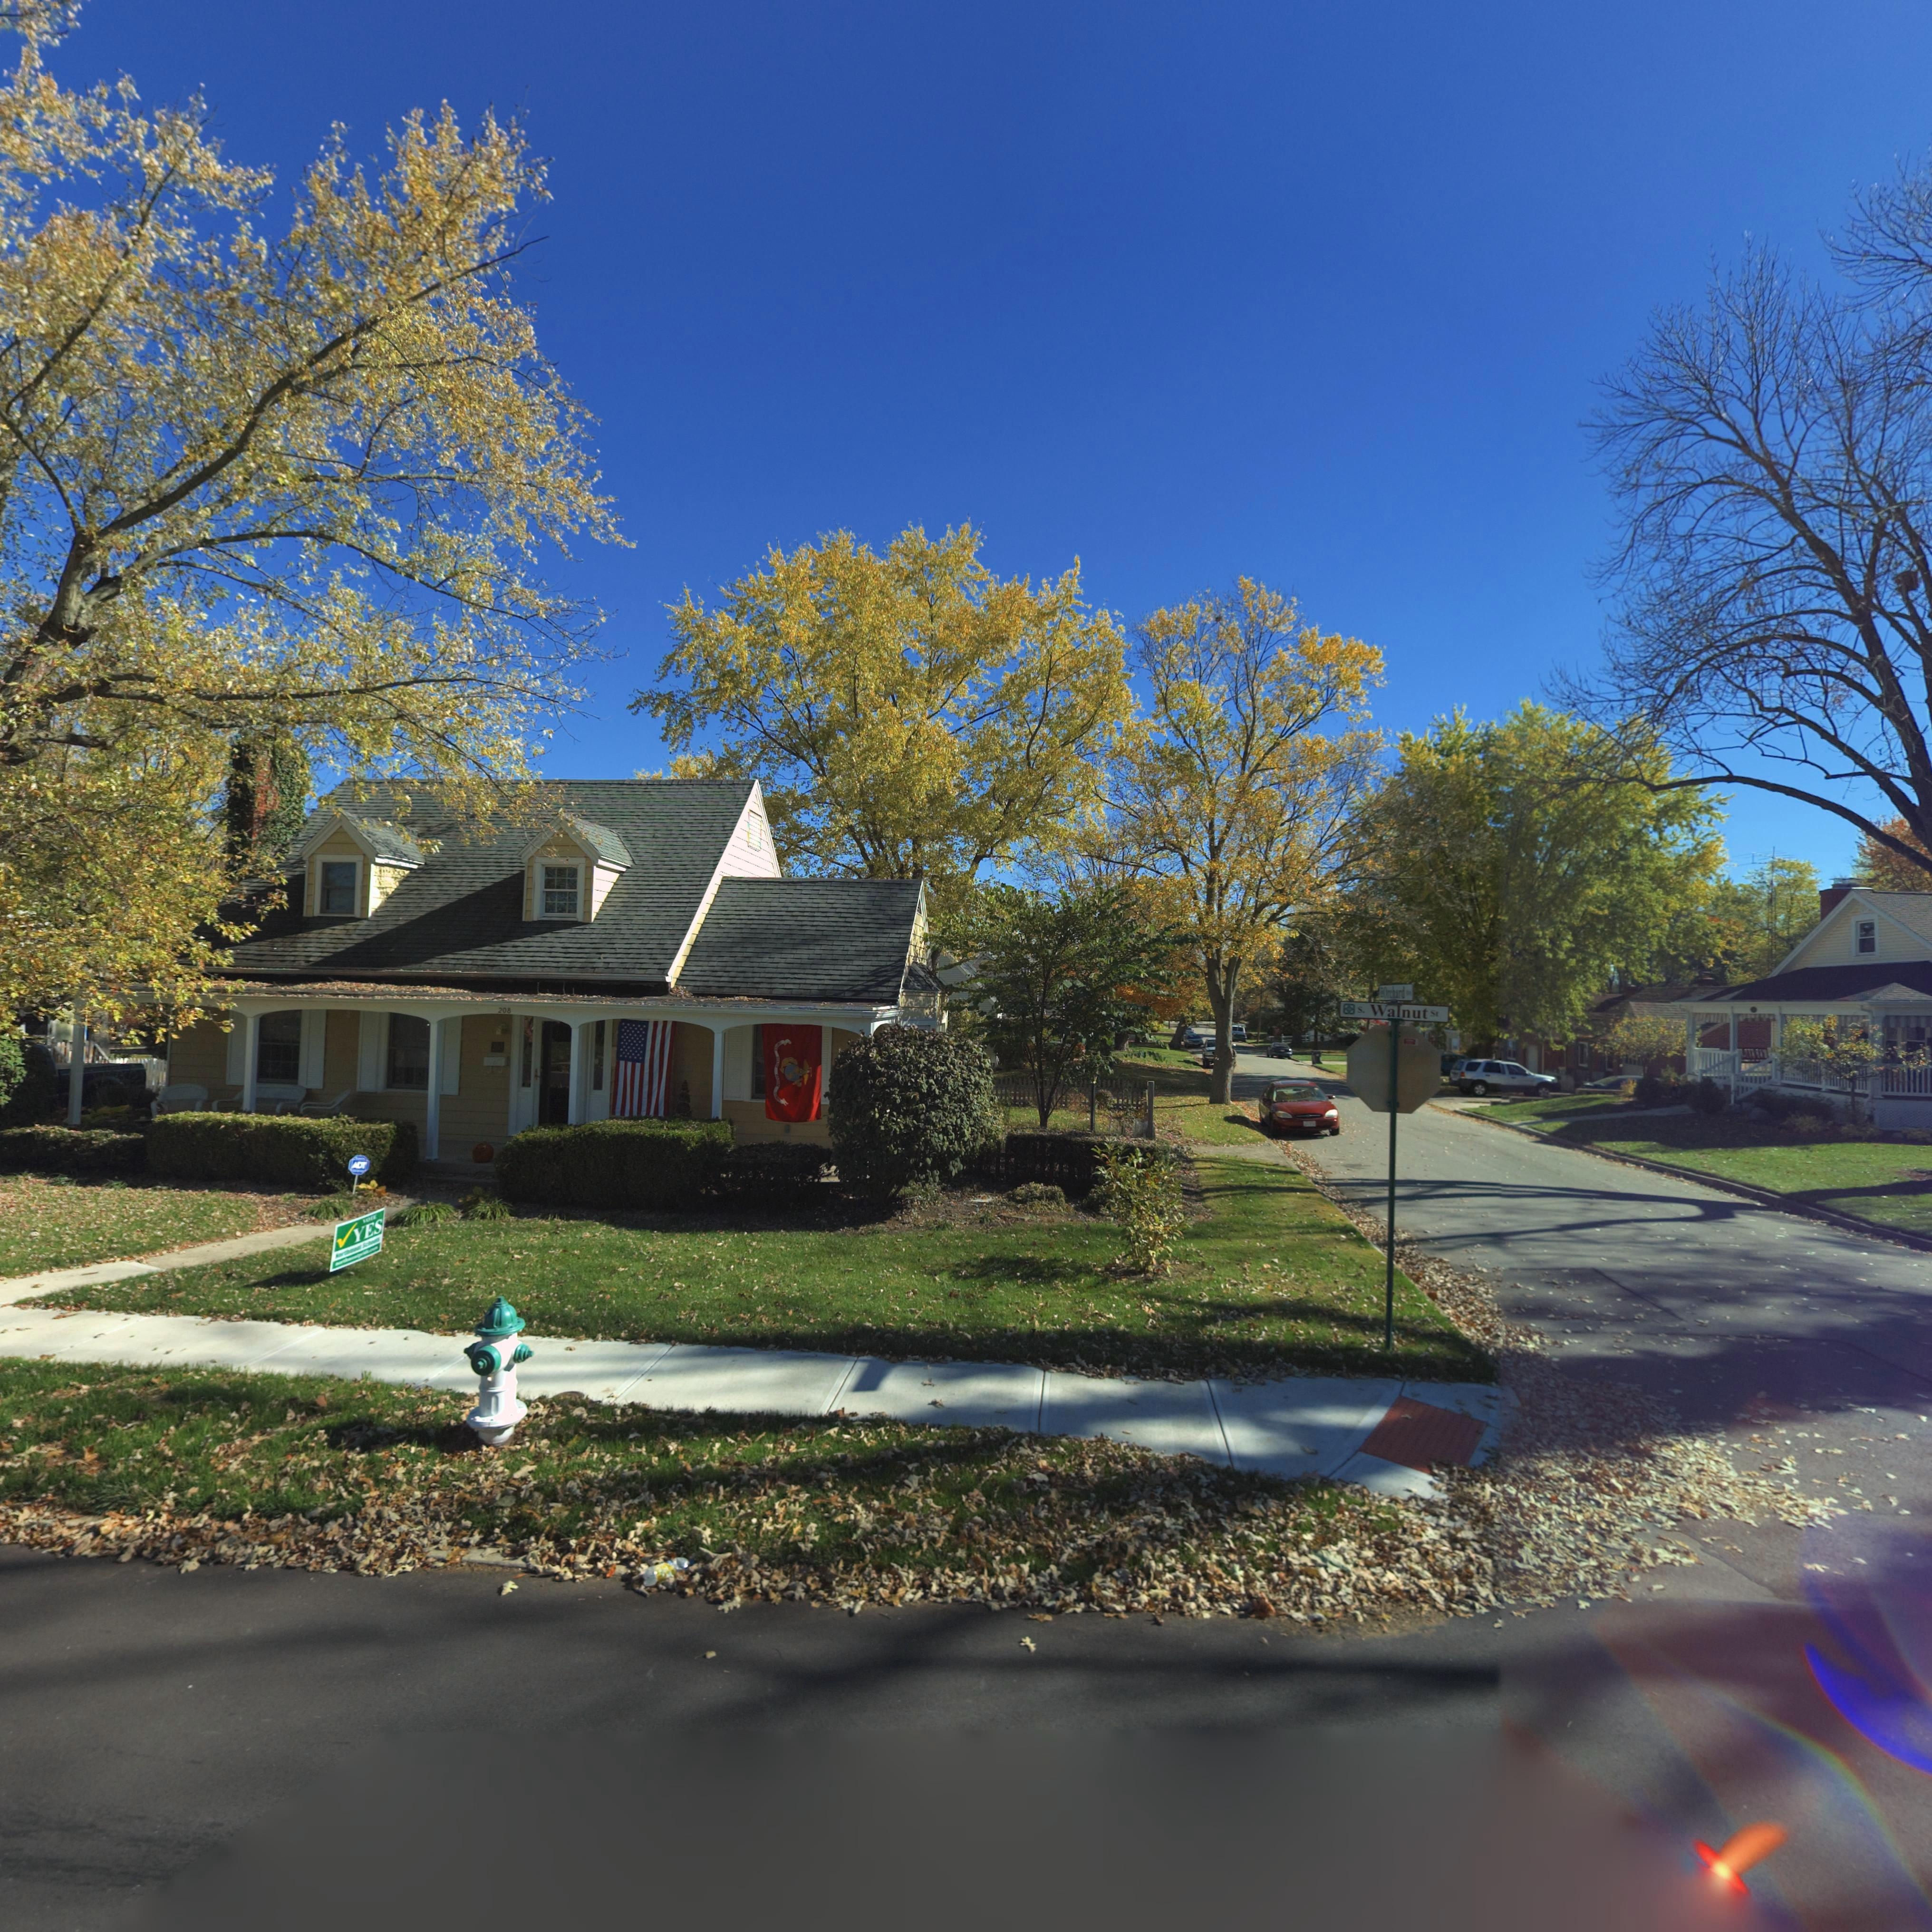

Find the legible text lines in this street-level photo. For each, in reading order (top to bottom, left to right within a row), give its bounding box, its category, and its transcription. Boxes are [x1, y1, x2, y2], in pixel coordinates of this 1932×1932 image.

[1382, 985, 1405, 1000] StreetName: Orchard
[497, 1007, 512, 1014] StreetNumber: 208
[1356, 1004, 1440, 1020] StreetName: S. Walnut St
[349, 1161, 368, 1169] None: ADT
[352, 1217, 384, 1244] None: YES